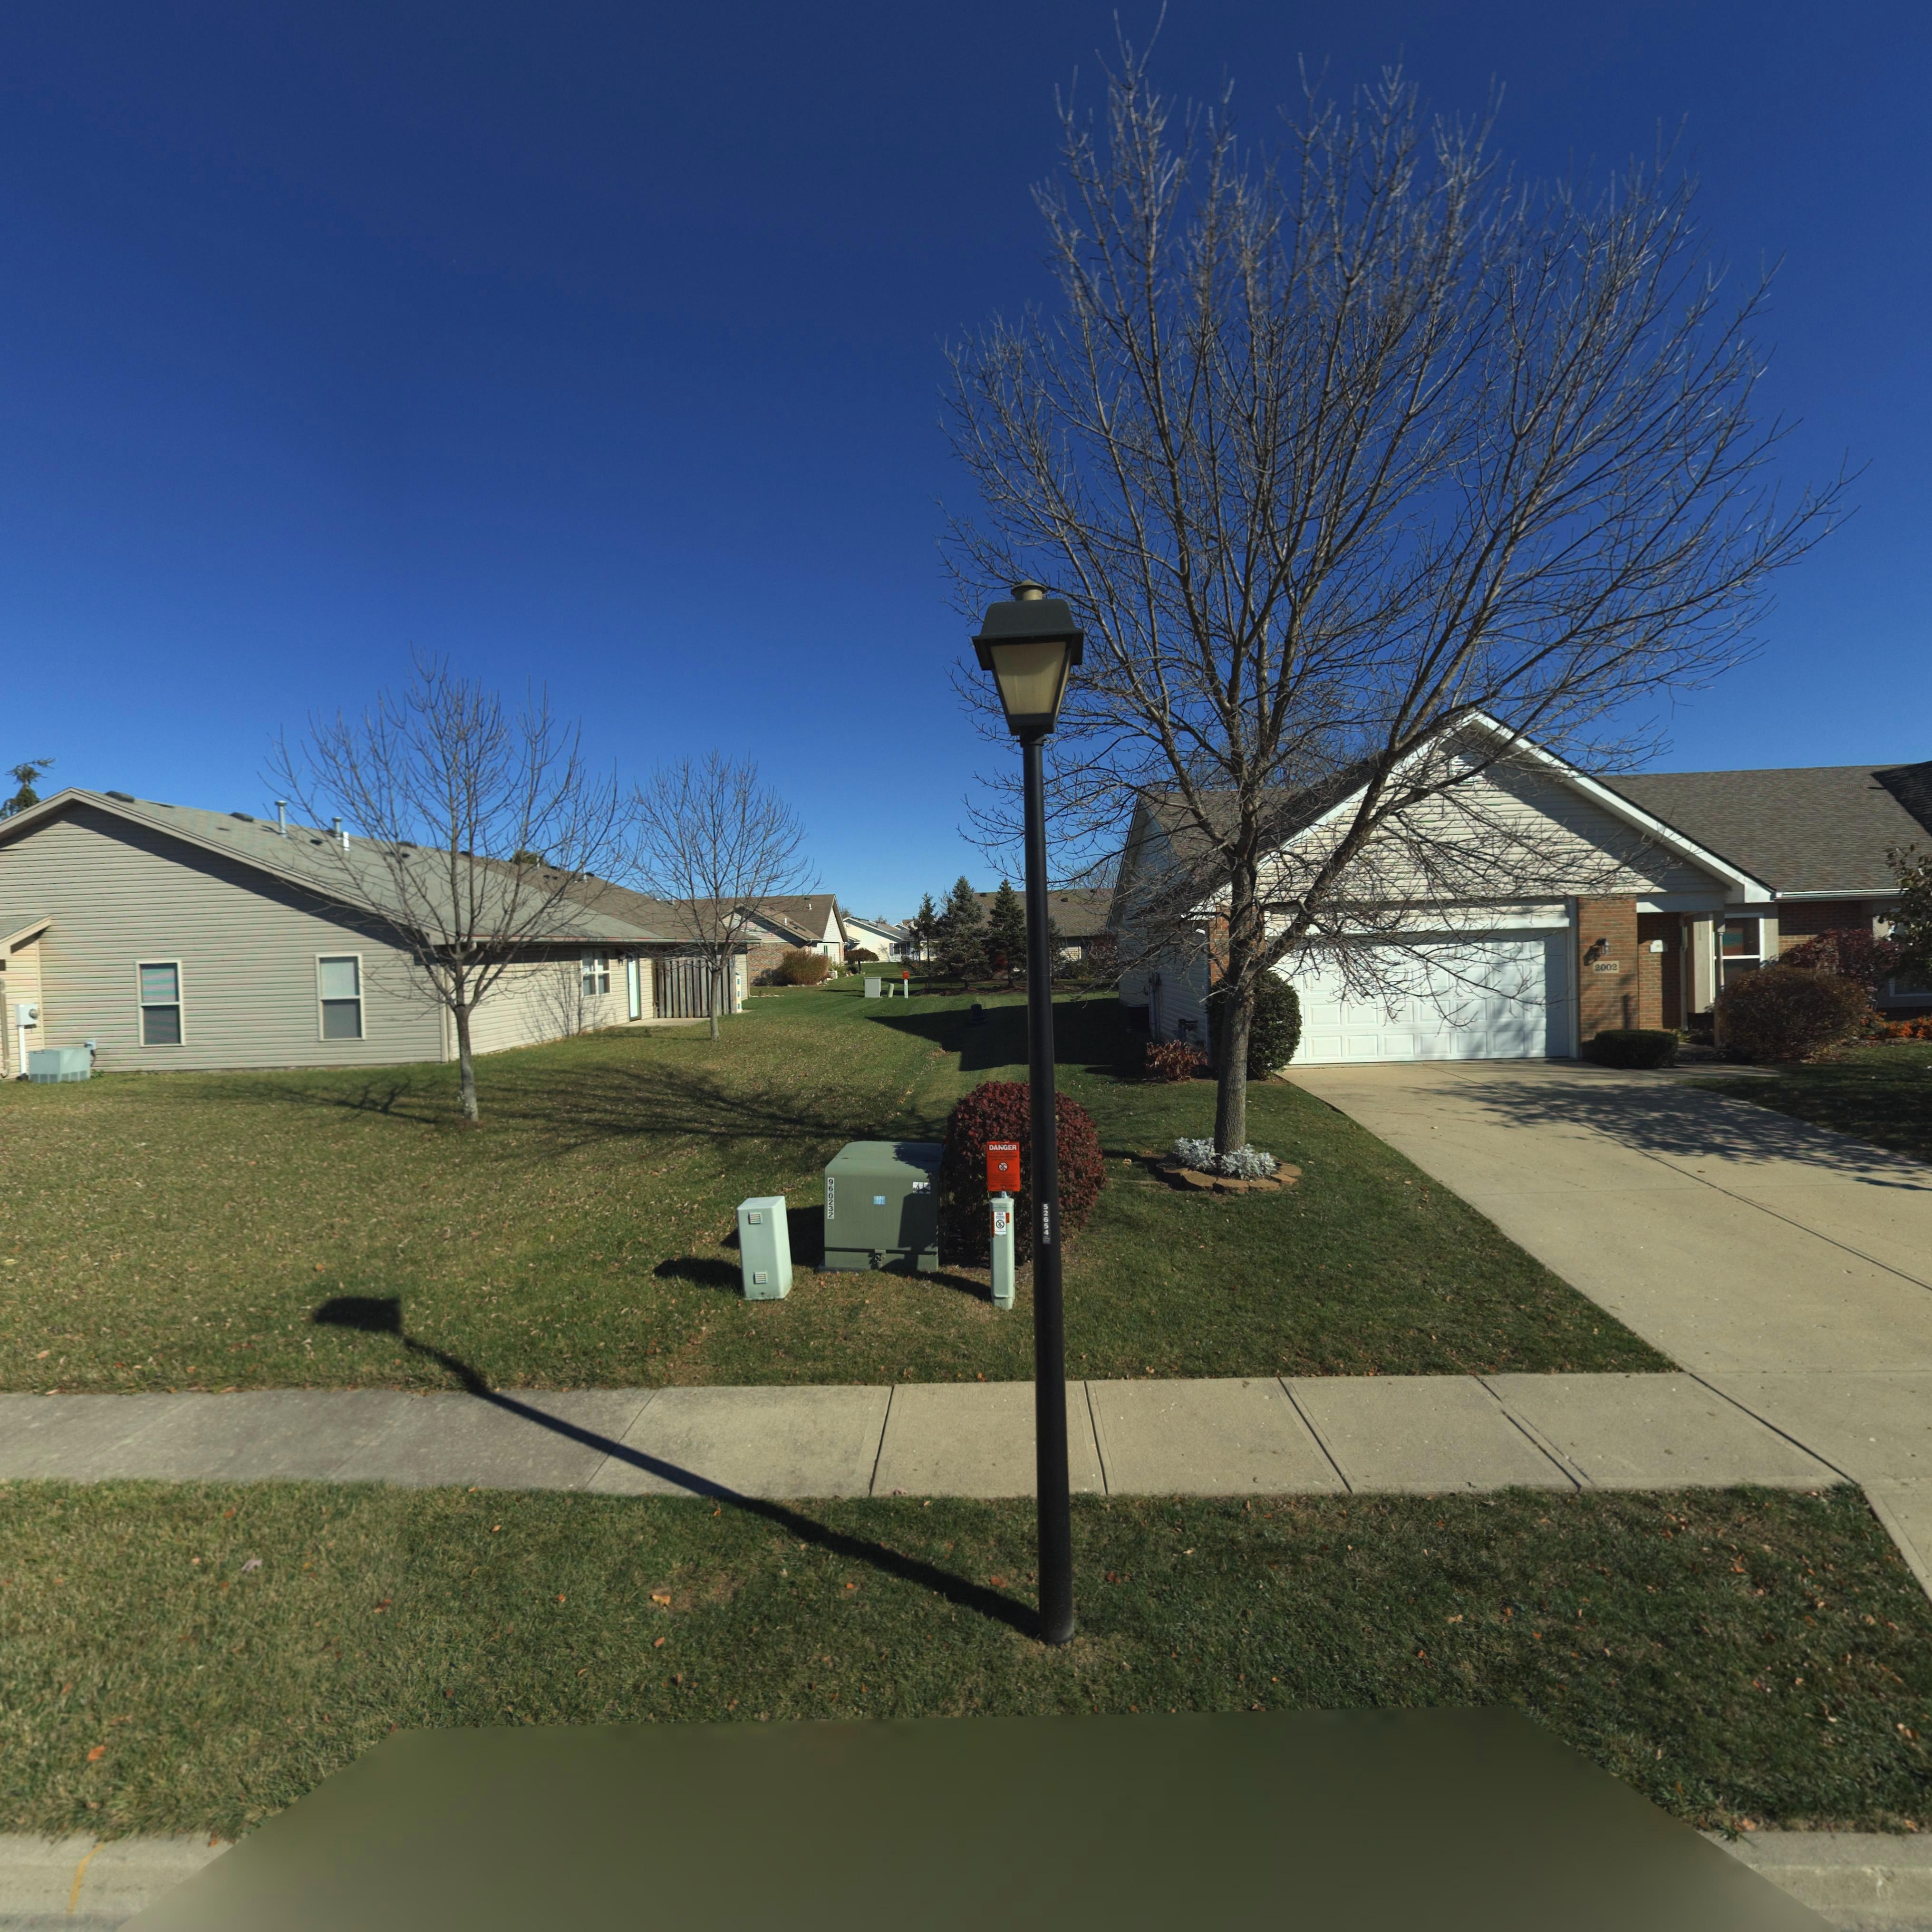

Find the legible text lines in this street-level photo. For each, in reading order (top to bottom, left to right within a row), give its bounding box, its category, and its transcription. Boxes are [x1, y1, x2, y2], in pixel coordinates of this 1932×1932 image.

[1594, 962, 1619, 973] StreetNumber: 2002